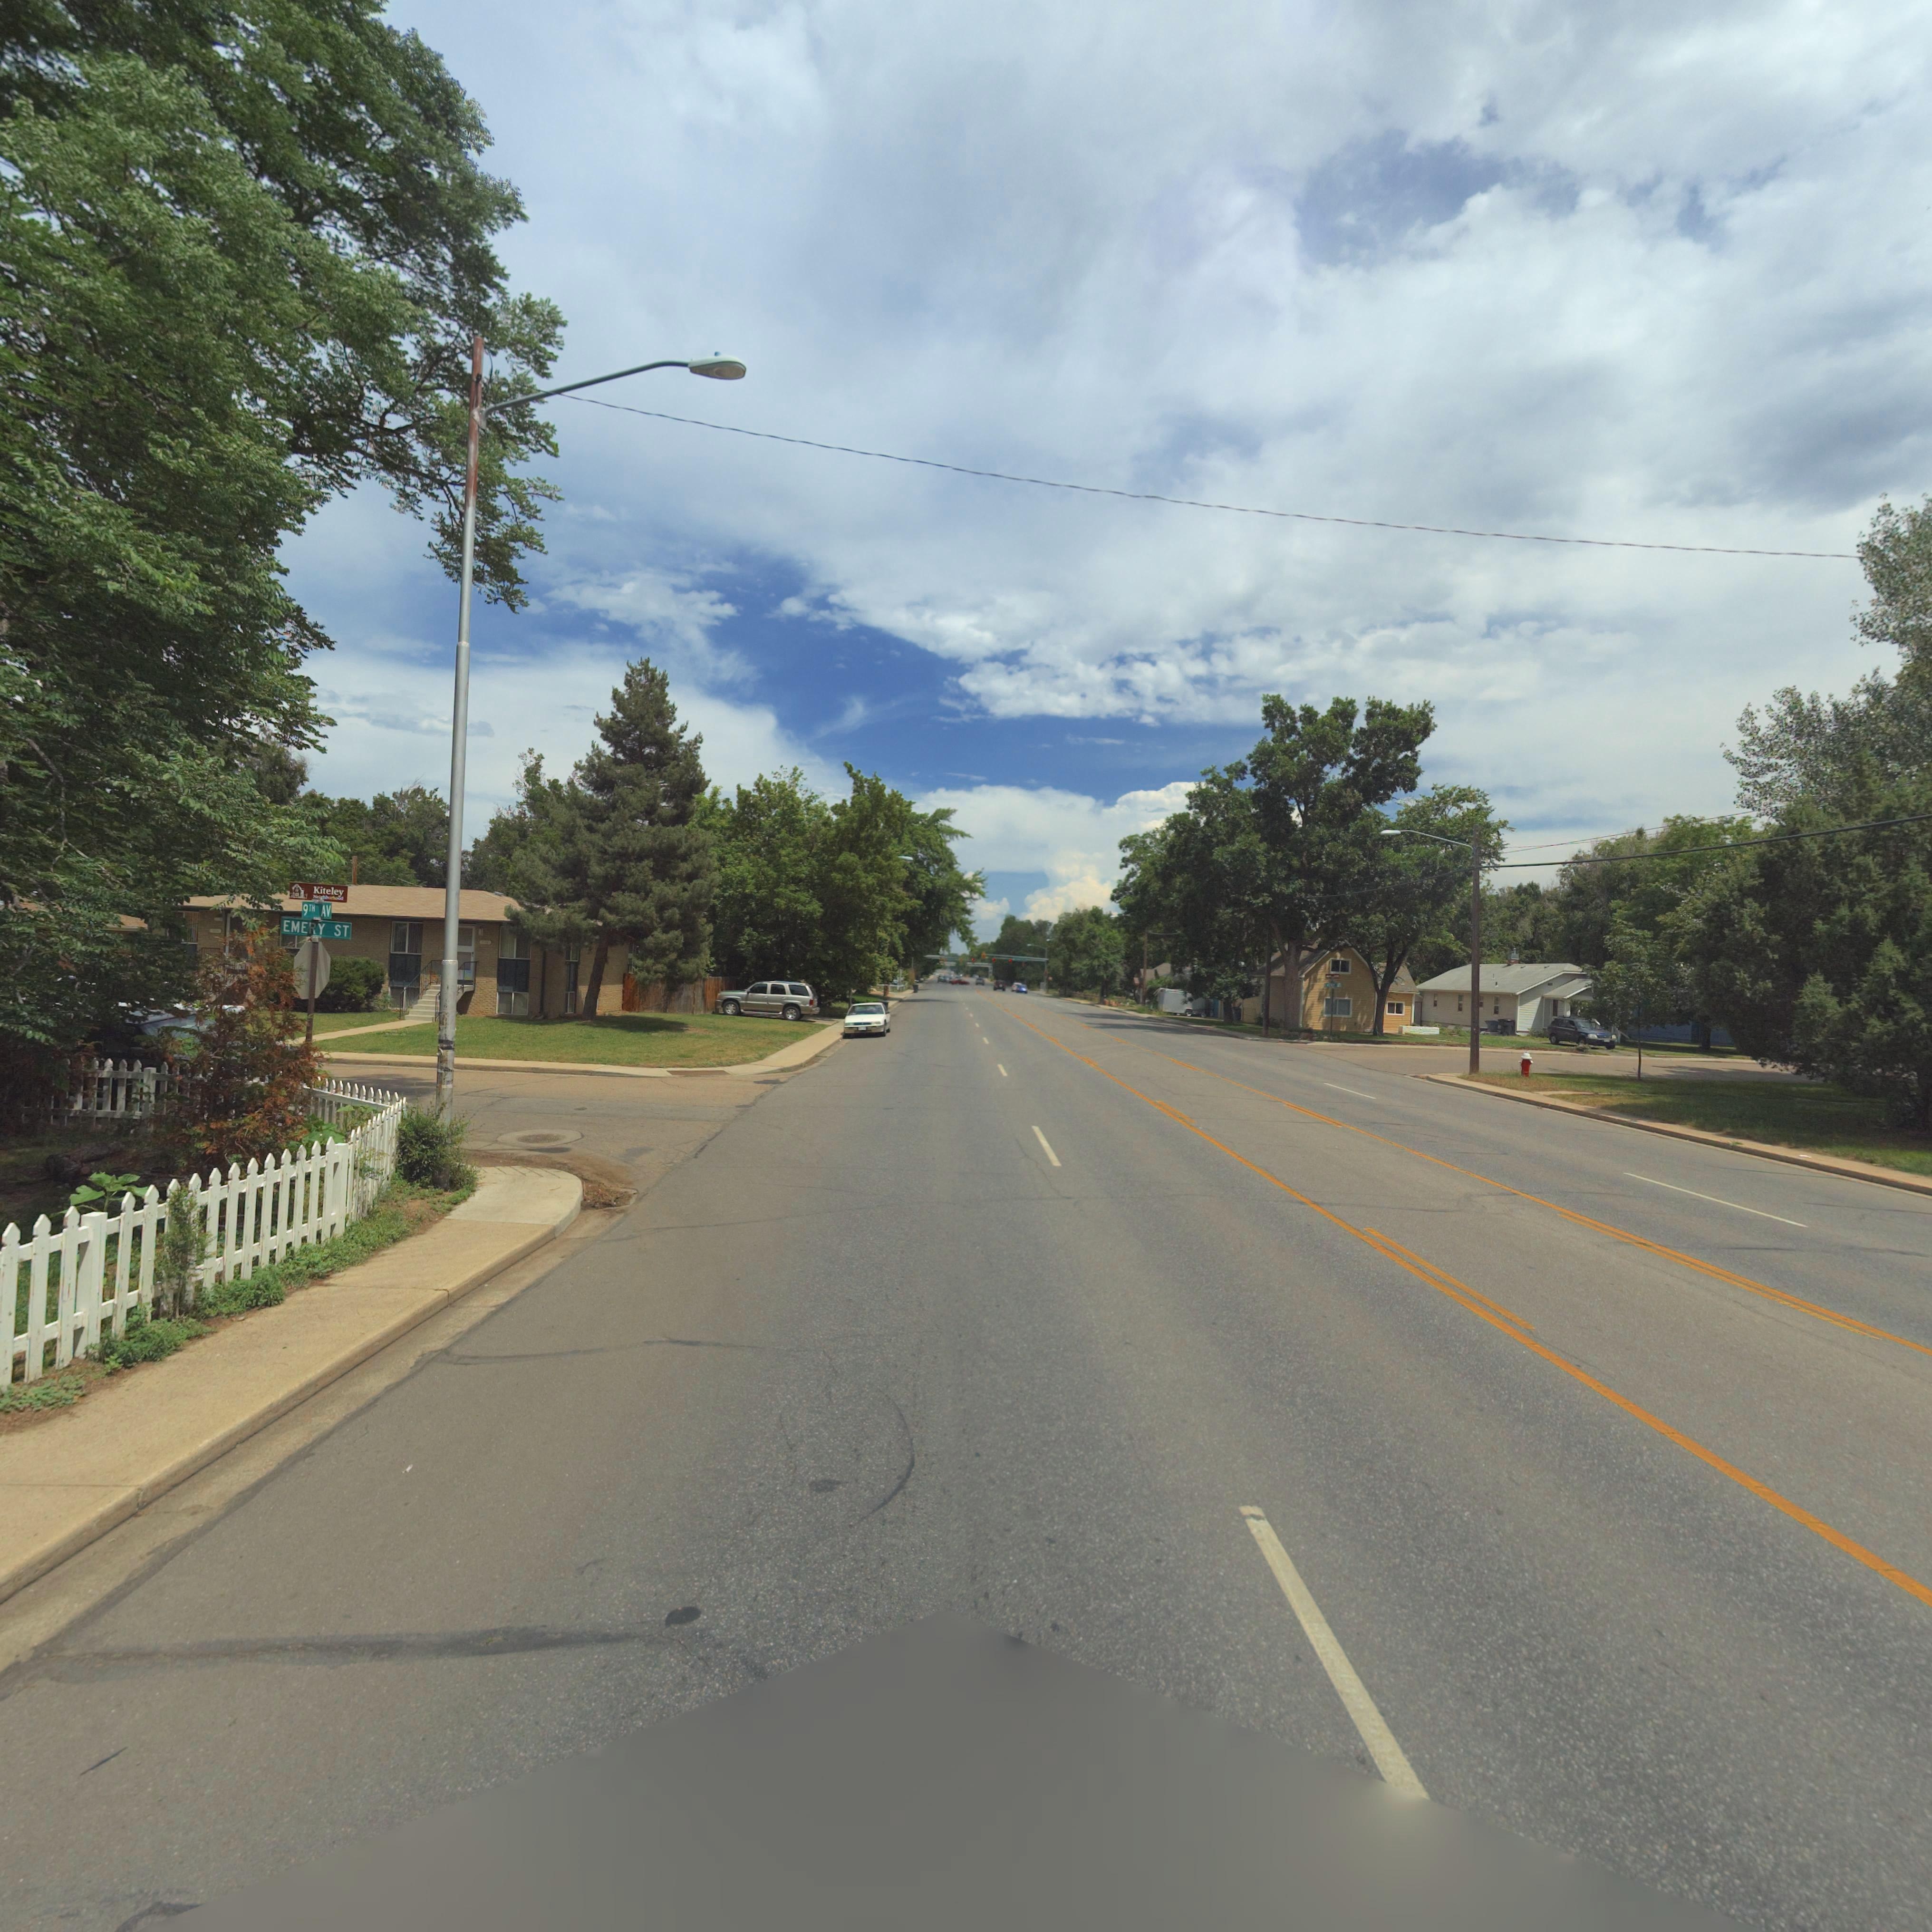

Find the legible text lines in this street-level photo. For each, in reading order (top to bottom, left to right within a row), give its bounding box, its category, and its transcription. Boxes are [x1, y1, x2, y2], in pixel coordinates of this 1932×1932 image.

[303, 904, 331, 917] StreetName: 9TH AV
[283, 919, 349, 937] StreetName: EMERY ST